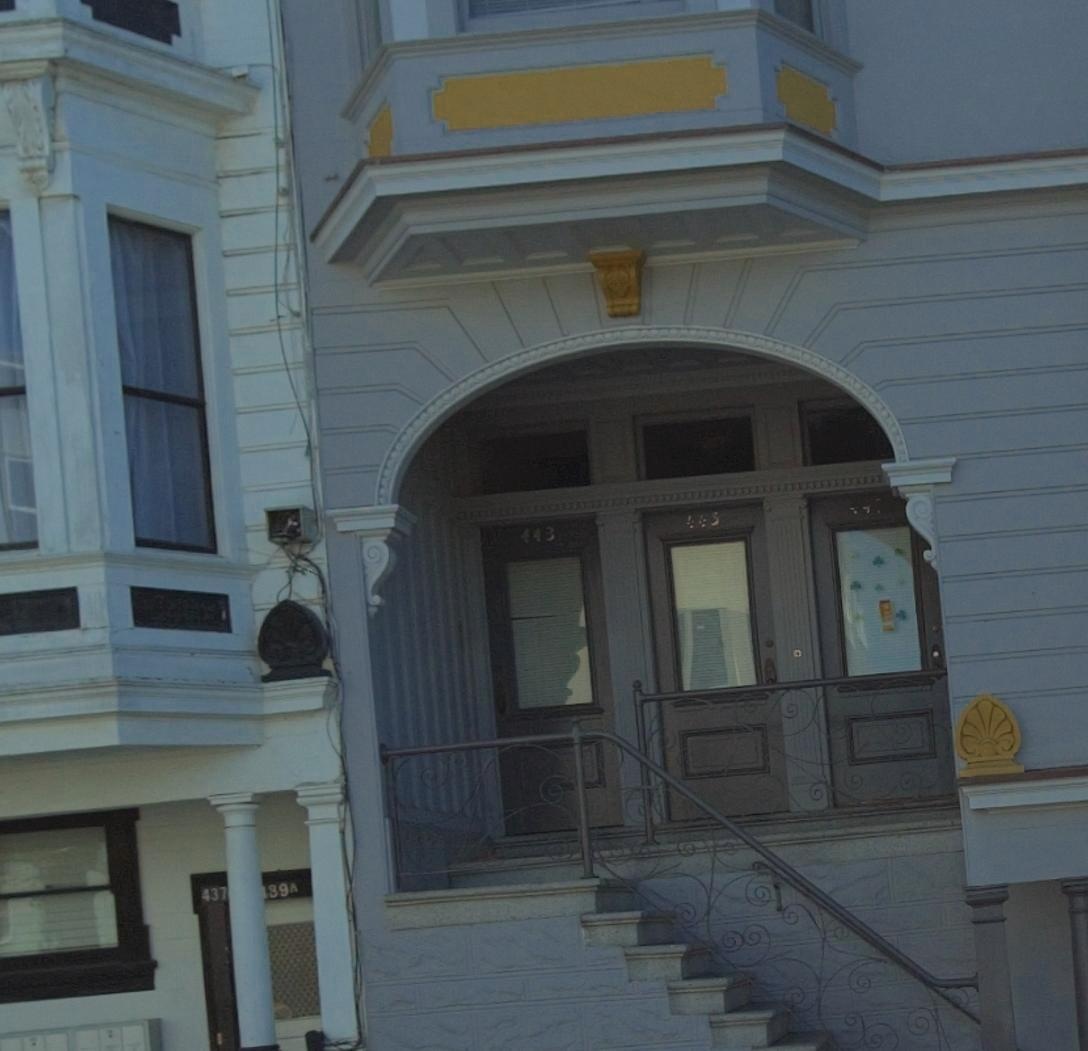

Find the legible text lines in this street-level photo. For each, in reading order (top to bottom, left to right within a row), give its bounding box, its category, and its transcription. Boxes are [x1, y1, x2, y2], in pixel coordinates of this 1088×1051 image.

[849, 497, 884, 517] StreetNumber: 44*
[685, 510, 721, 532] StreetNumber: 445
[519, 524, 556, 546] StreetNumber: 443
[200, 885, 228, 904] StreetNumber: 437
[266, 880, 301, 900] StreetNumber: 39A